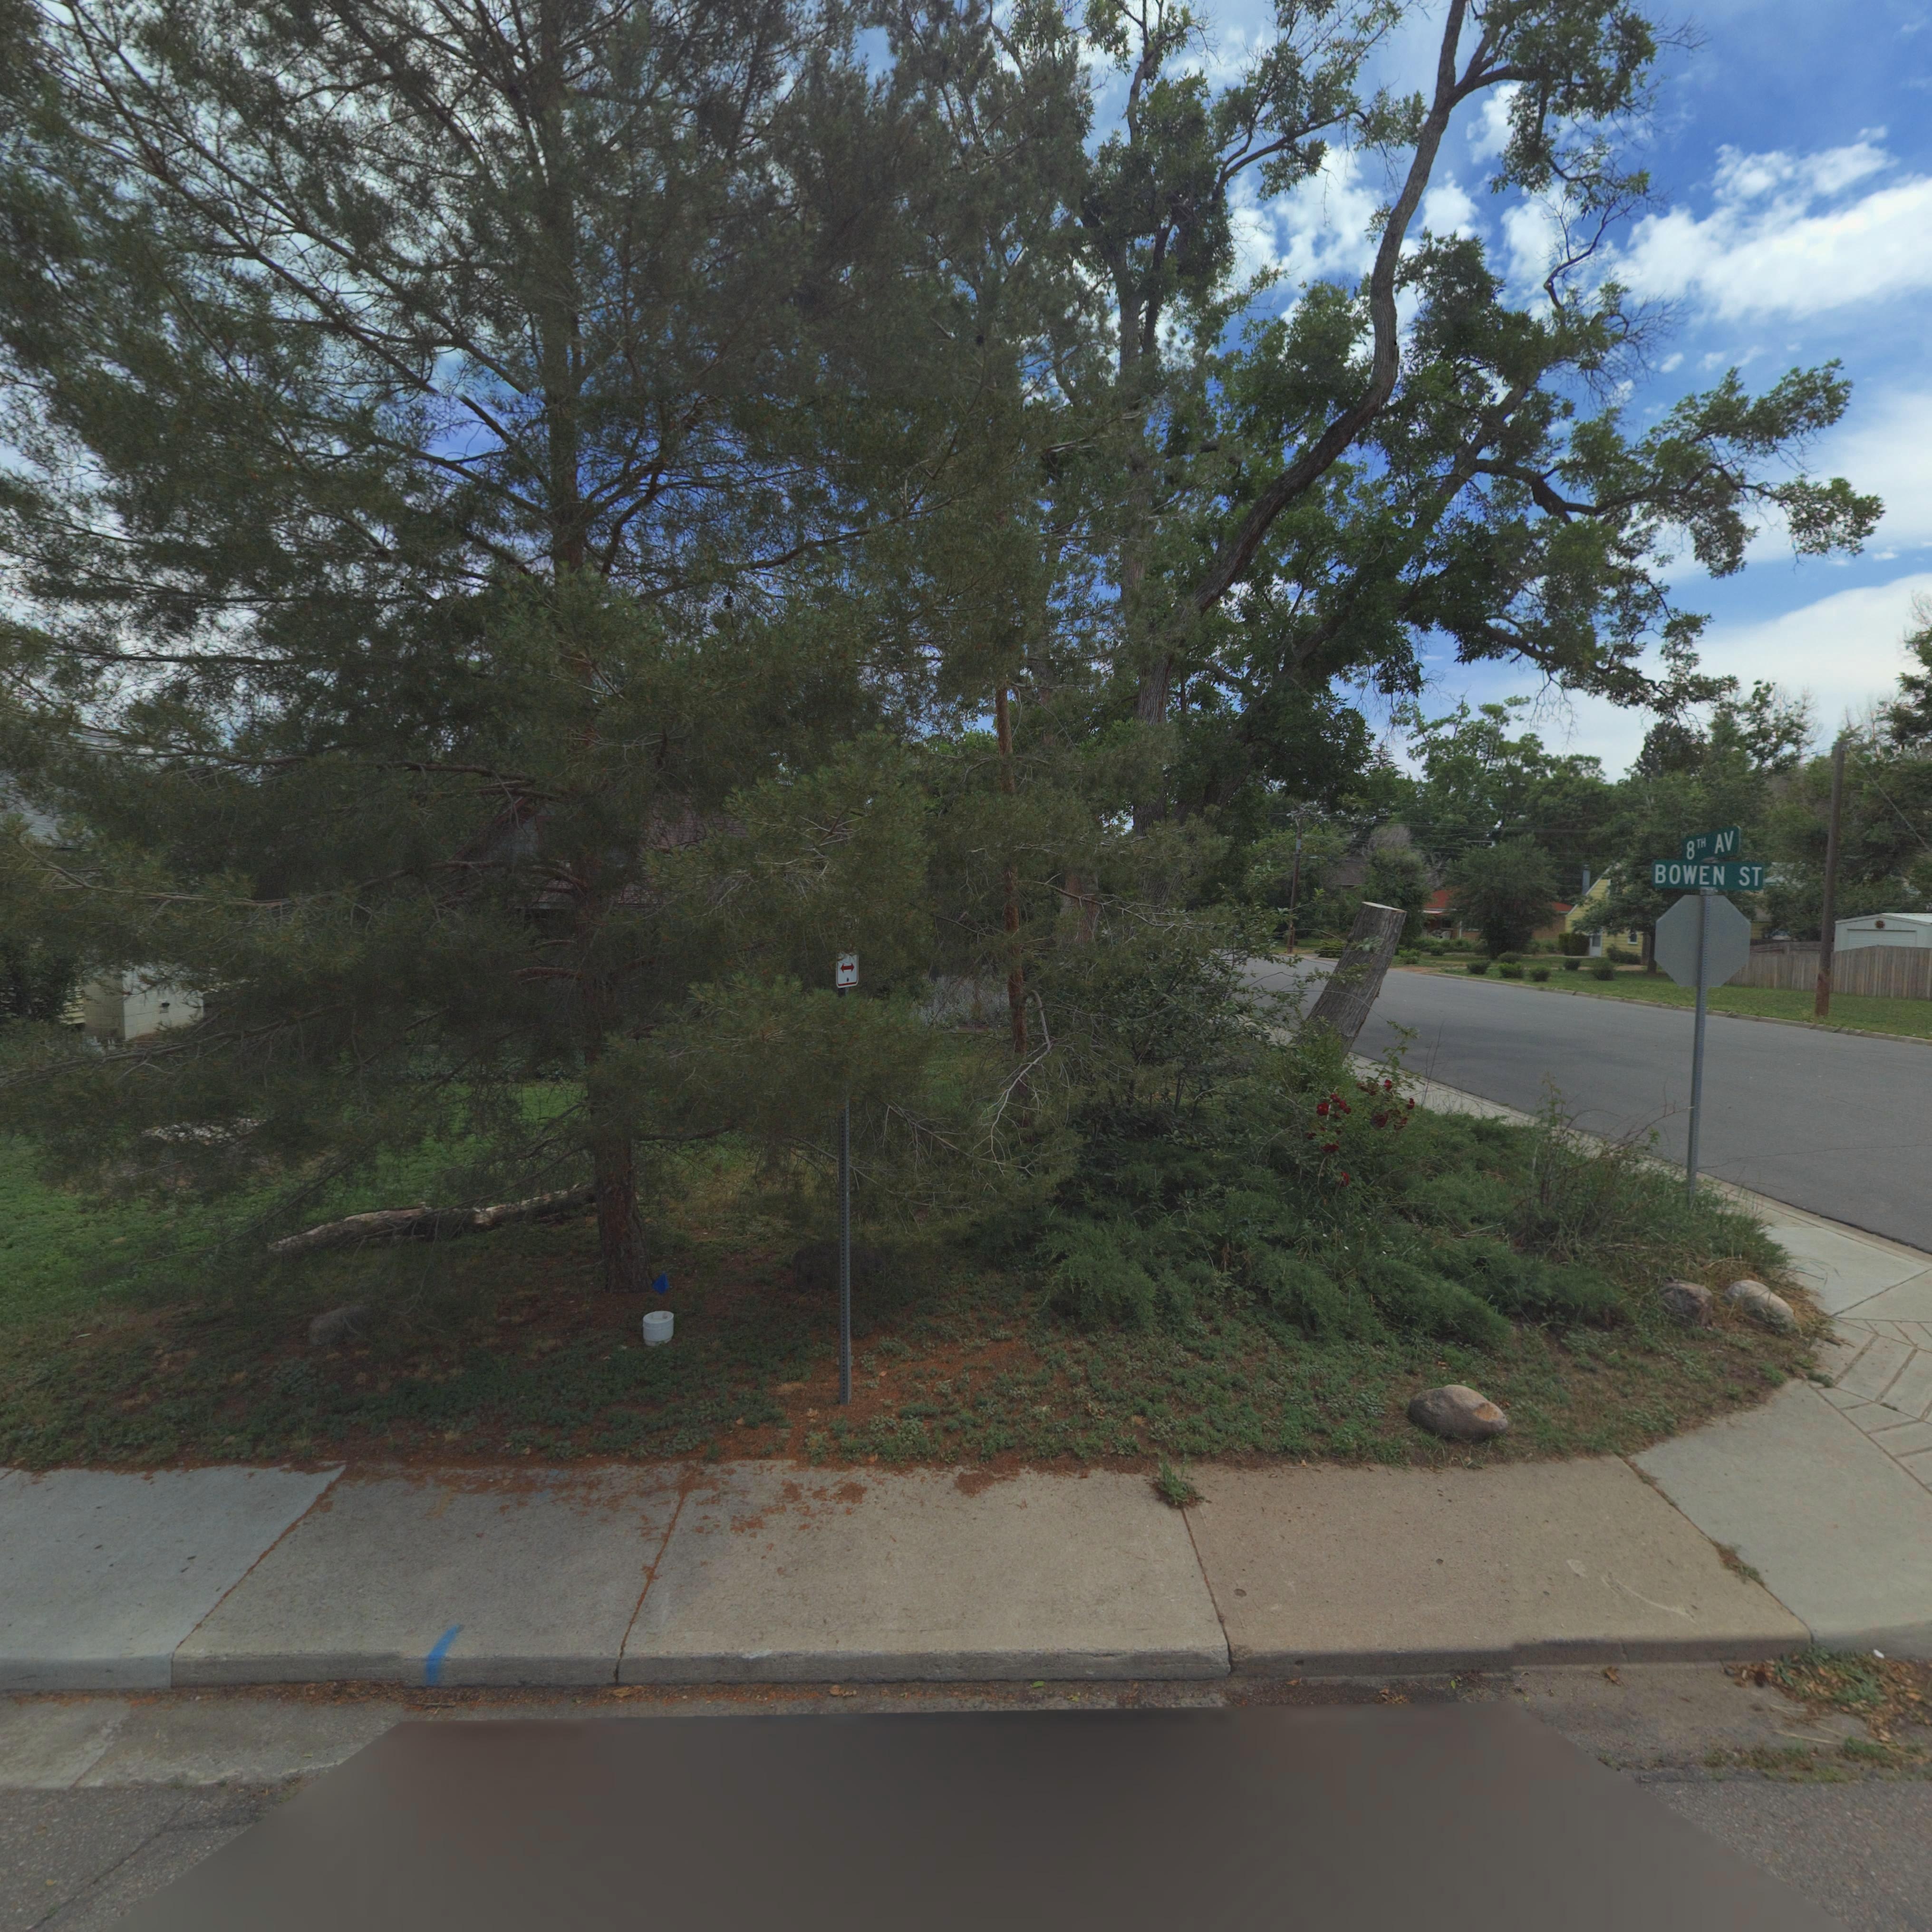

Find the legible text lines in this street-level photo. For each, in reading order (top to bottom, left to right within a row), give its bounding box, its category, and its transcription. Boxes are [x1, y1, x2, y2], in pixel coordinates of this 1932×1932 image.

[1685, 830, 1734, 860] StreetName: 8TH AV
[1655, 864, 1761, 885] StreetName: BOWEN ST